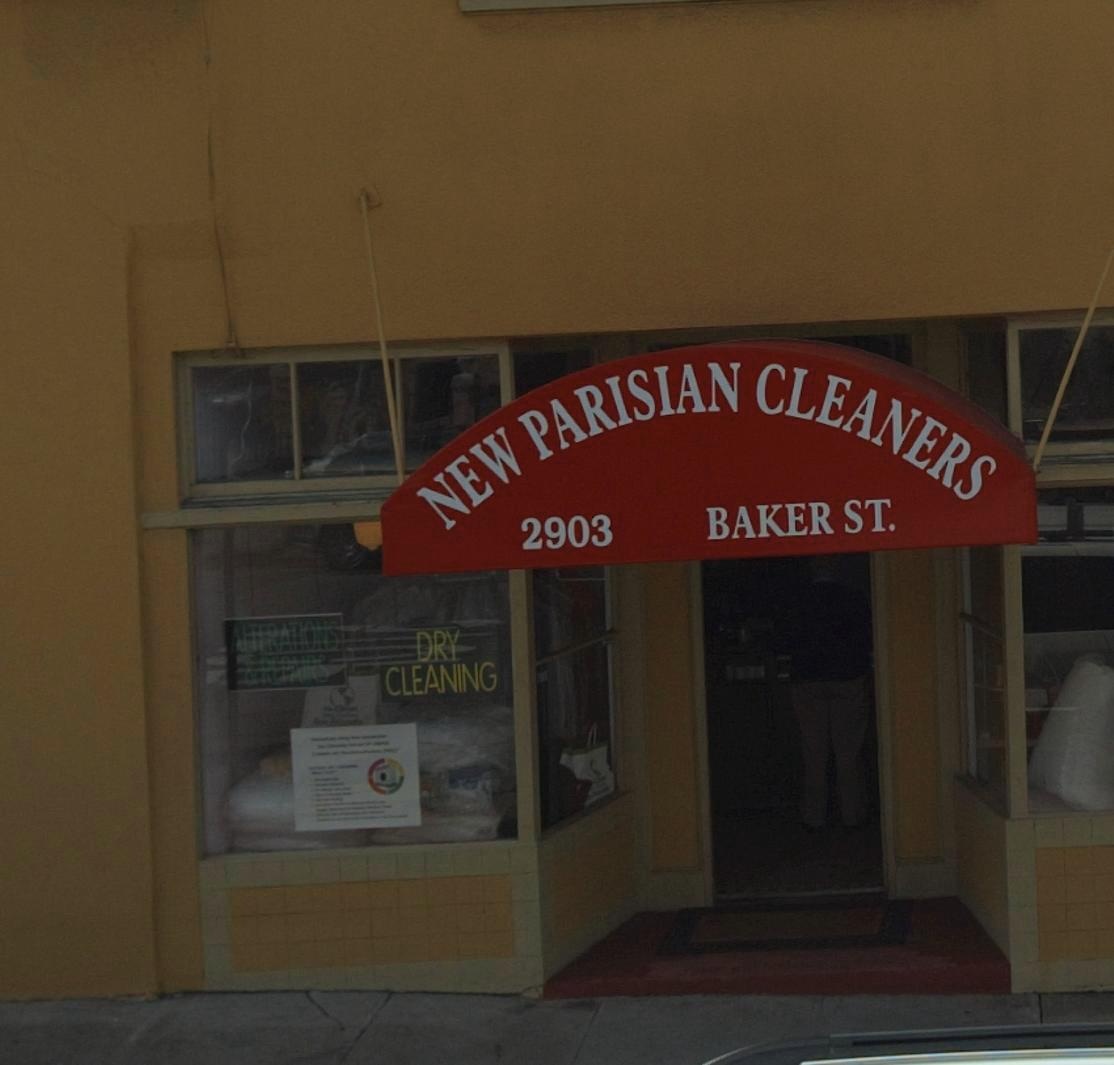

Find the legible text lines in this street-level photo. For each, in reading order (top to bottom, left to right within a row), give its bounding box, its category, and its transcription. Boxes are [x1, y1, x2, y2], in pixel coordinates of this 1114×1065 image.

[407, 357, 1001, 538] BusinessName: NEW PARISIAN CLEANERS
[519, 511, 617, 553] StreetNumber: 2903
[703, 495, 899, 544] StreetName: BAKER ST.
[225, 617, 344, 656] None: ALT*RATIONS
[414, 626, 463, 664] None: DRY
[255, 650, 333, 690] None: REPAIRS
[382, 658, 500, 700] None: CLEANING